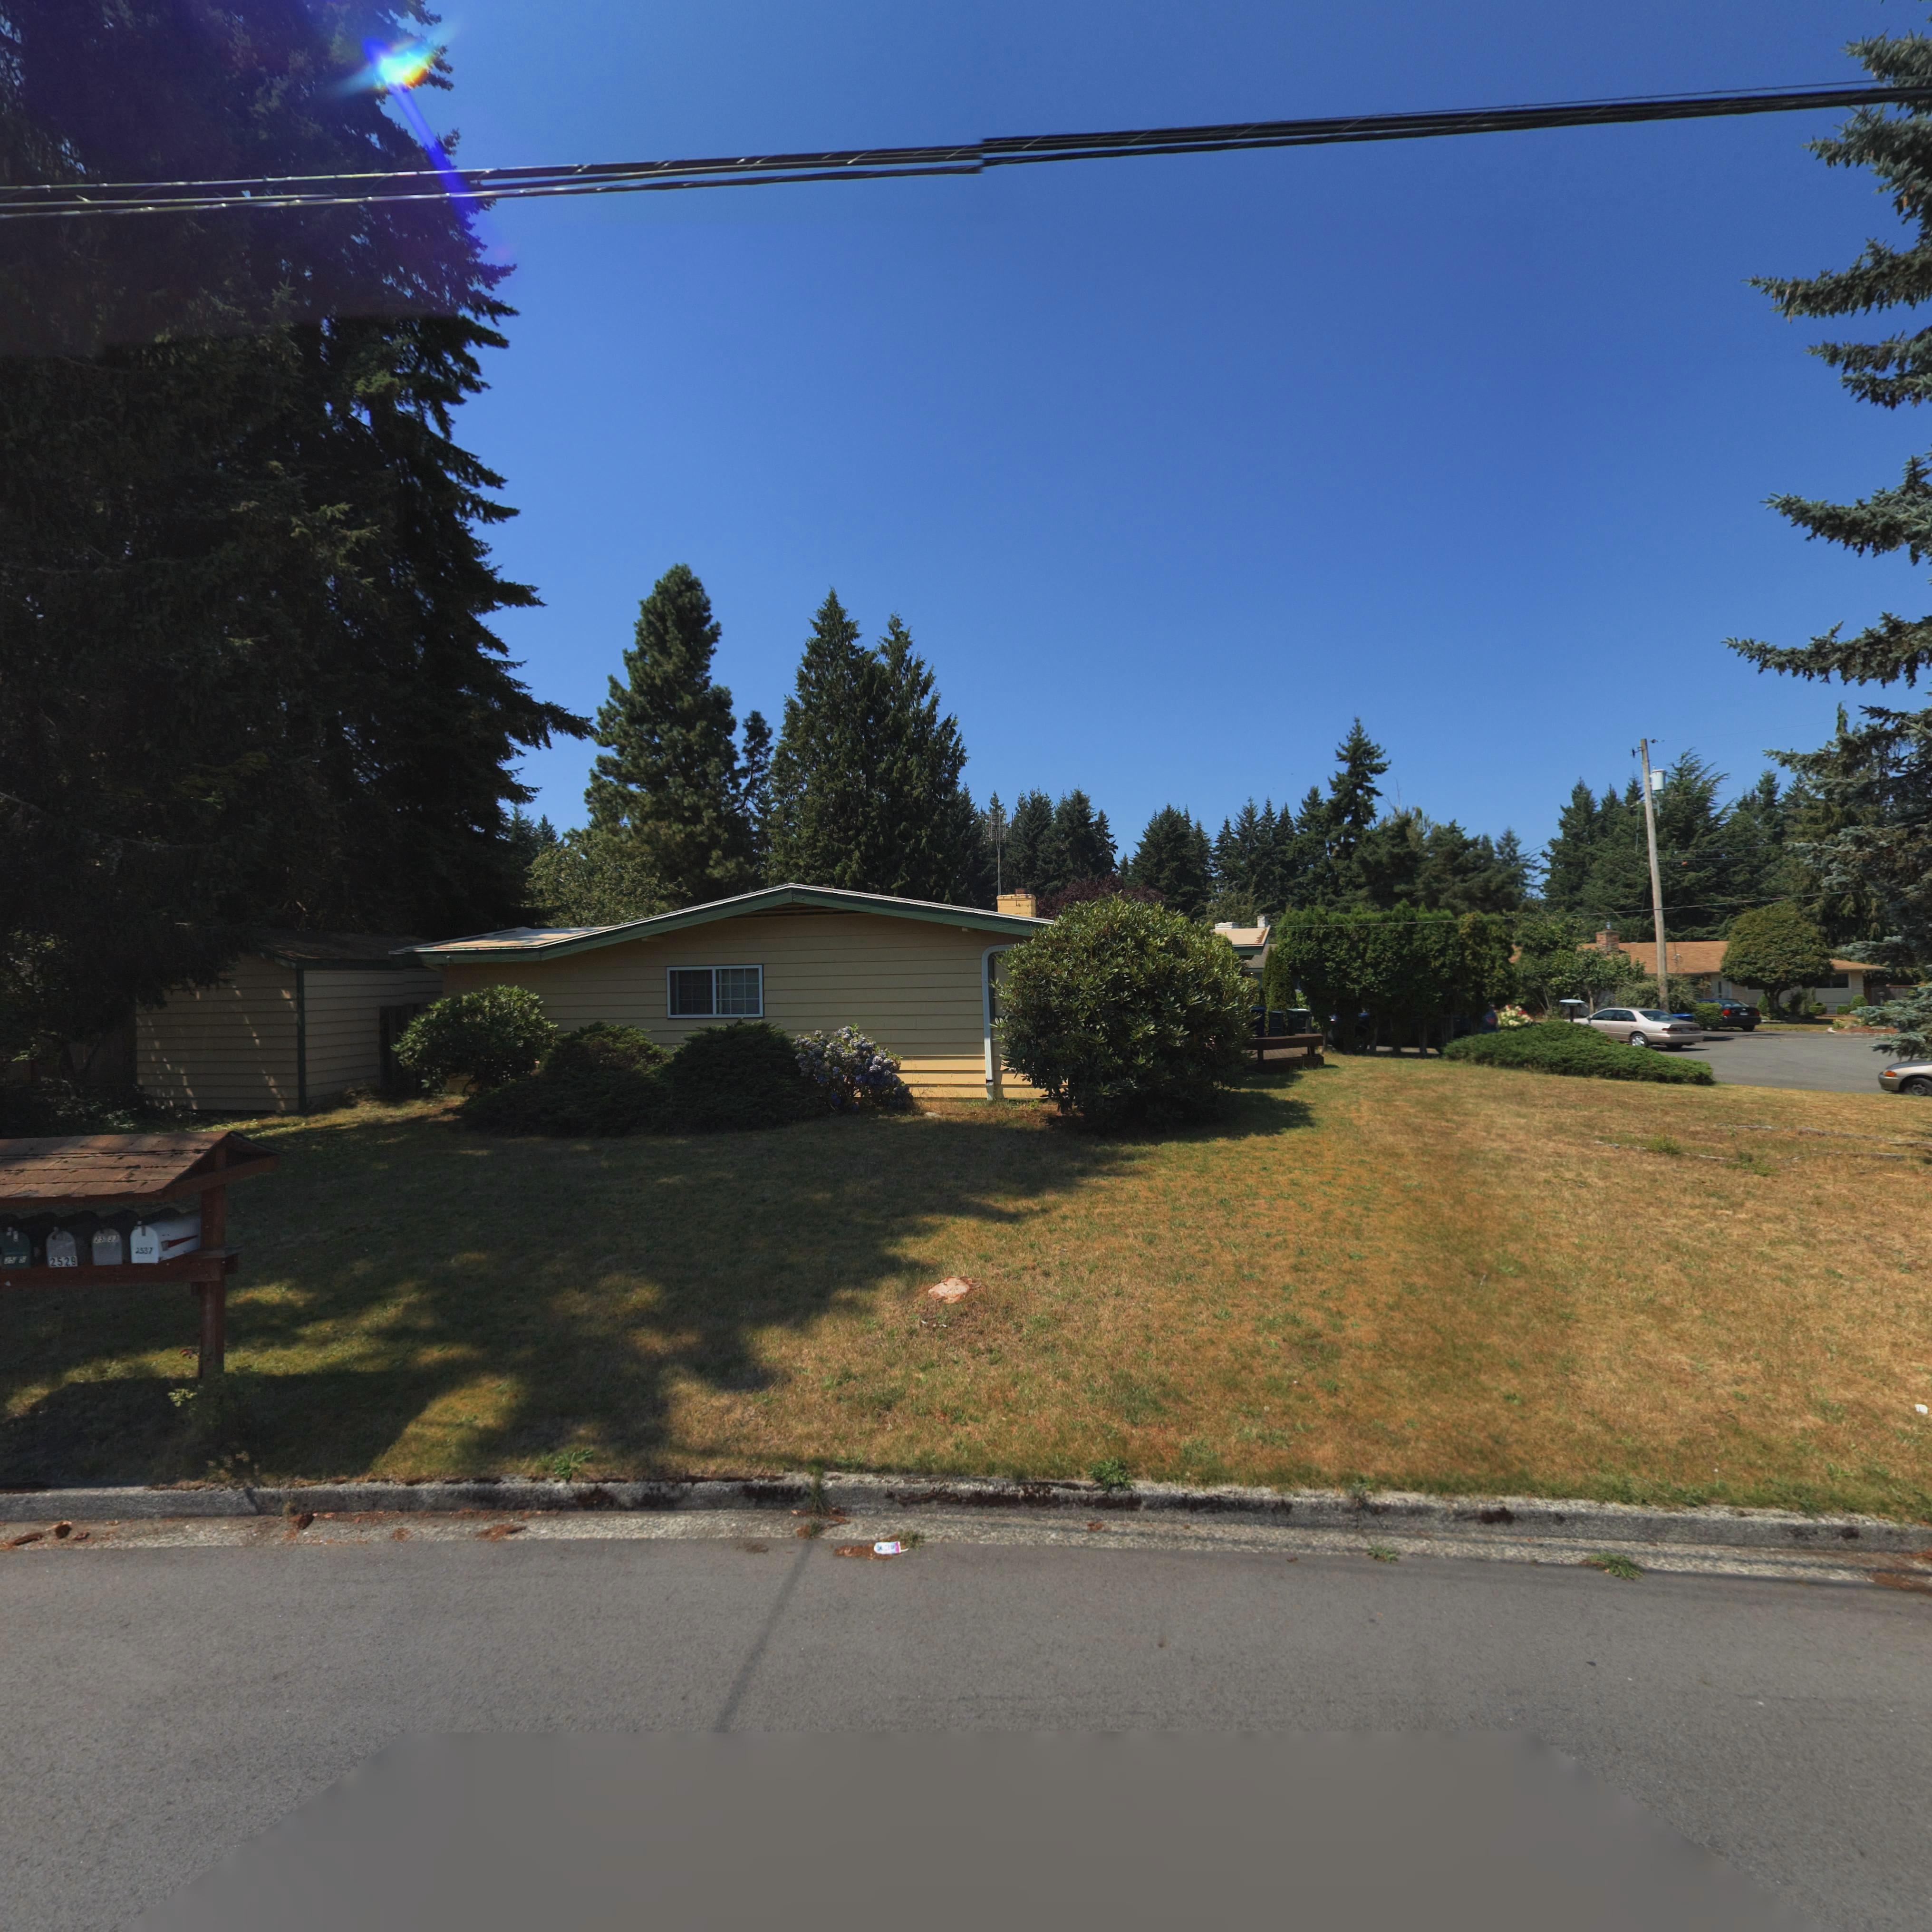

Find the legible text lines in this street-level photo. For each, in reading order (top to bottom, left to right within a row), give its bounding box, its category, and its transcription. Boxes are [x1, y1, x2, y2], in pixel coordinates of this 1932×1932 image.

[134, 1246, 153, 1255] StreetNumber: 2337
[48, 1256, 77, 1267] StreetNumber: 2529